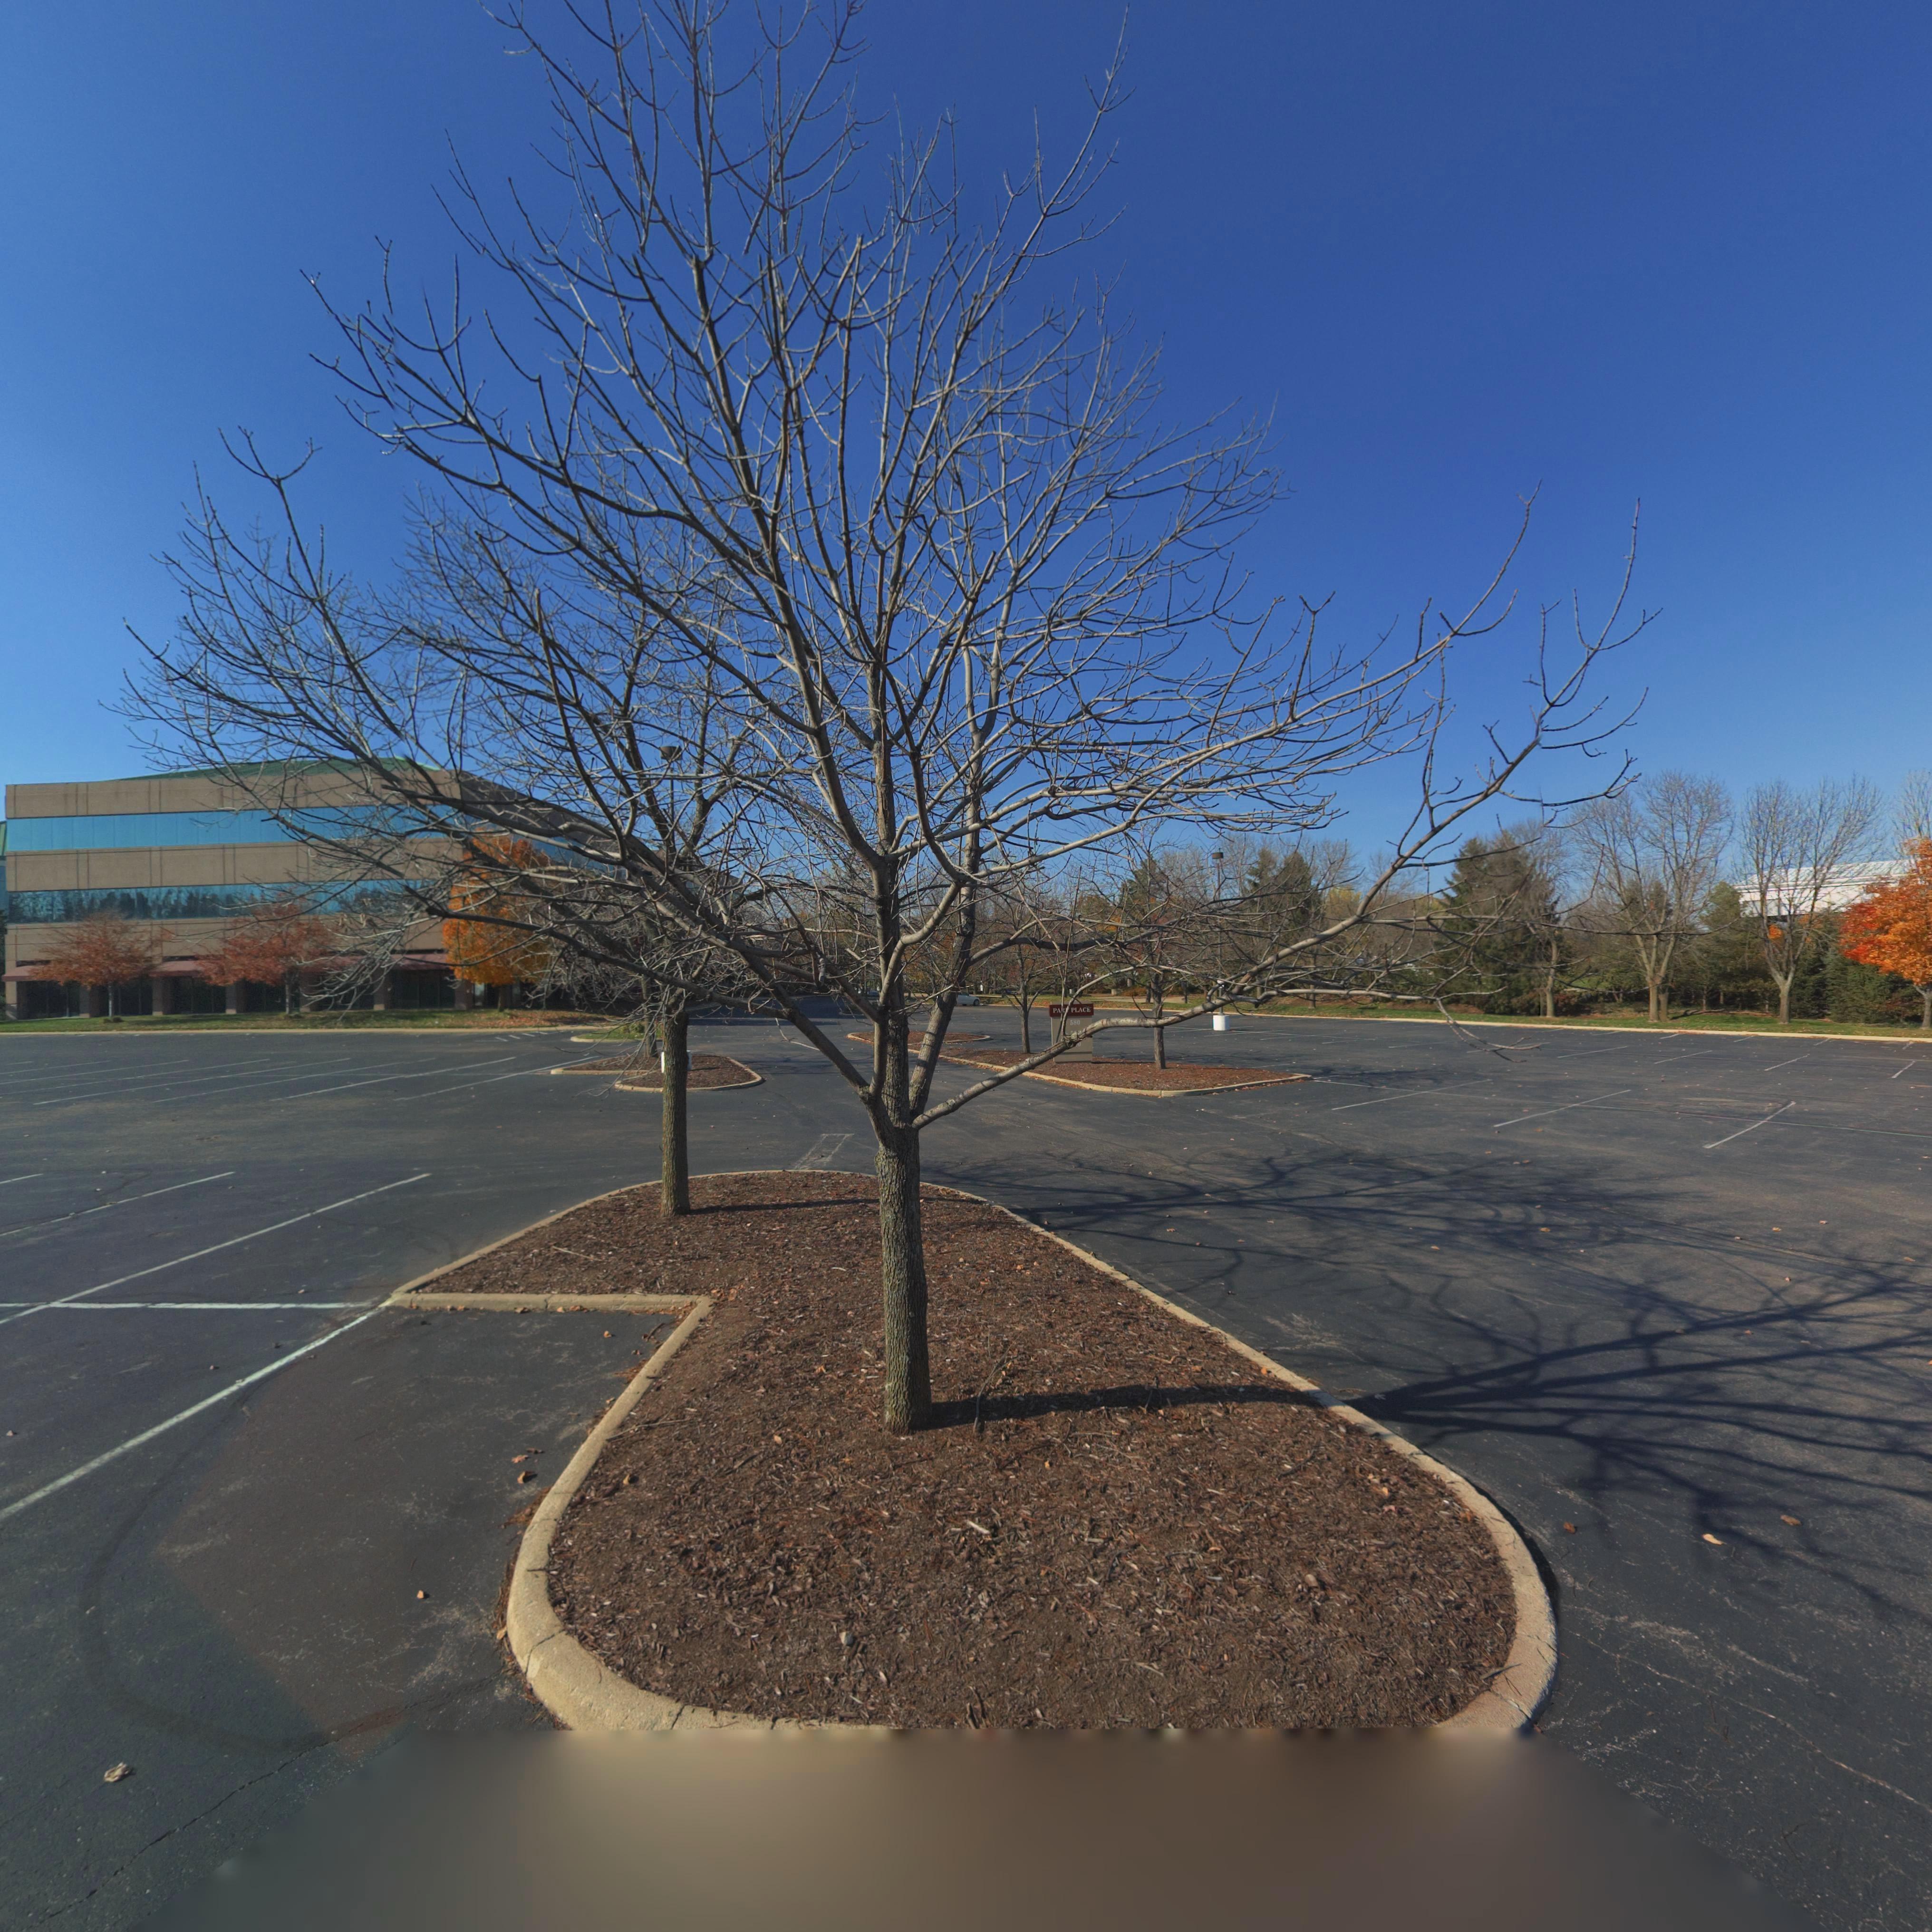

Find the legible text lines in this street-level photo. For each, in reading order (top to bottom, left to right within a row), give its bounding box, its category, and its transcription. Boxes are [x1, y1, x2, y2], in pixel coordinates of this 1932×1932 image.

[1053, 1006, 1092, 1014] None: PA* PLACE
[1069, 1019, 1080, 1025] StreetNumber: 580